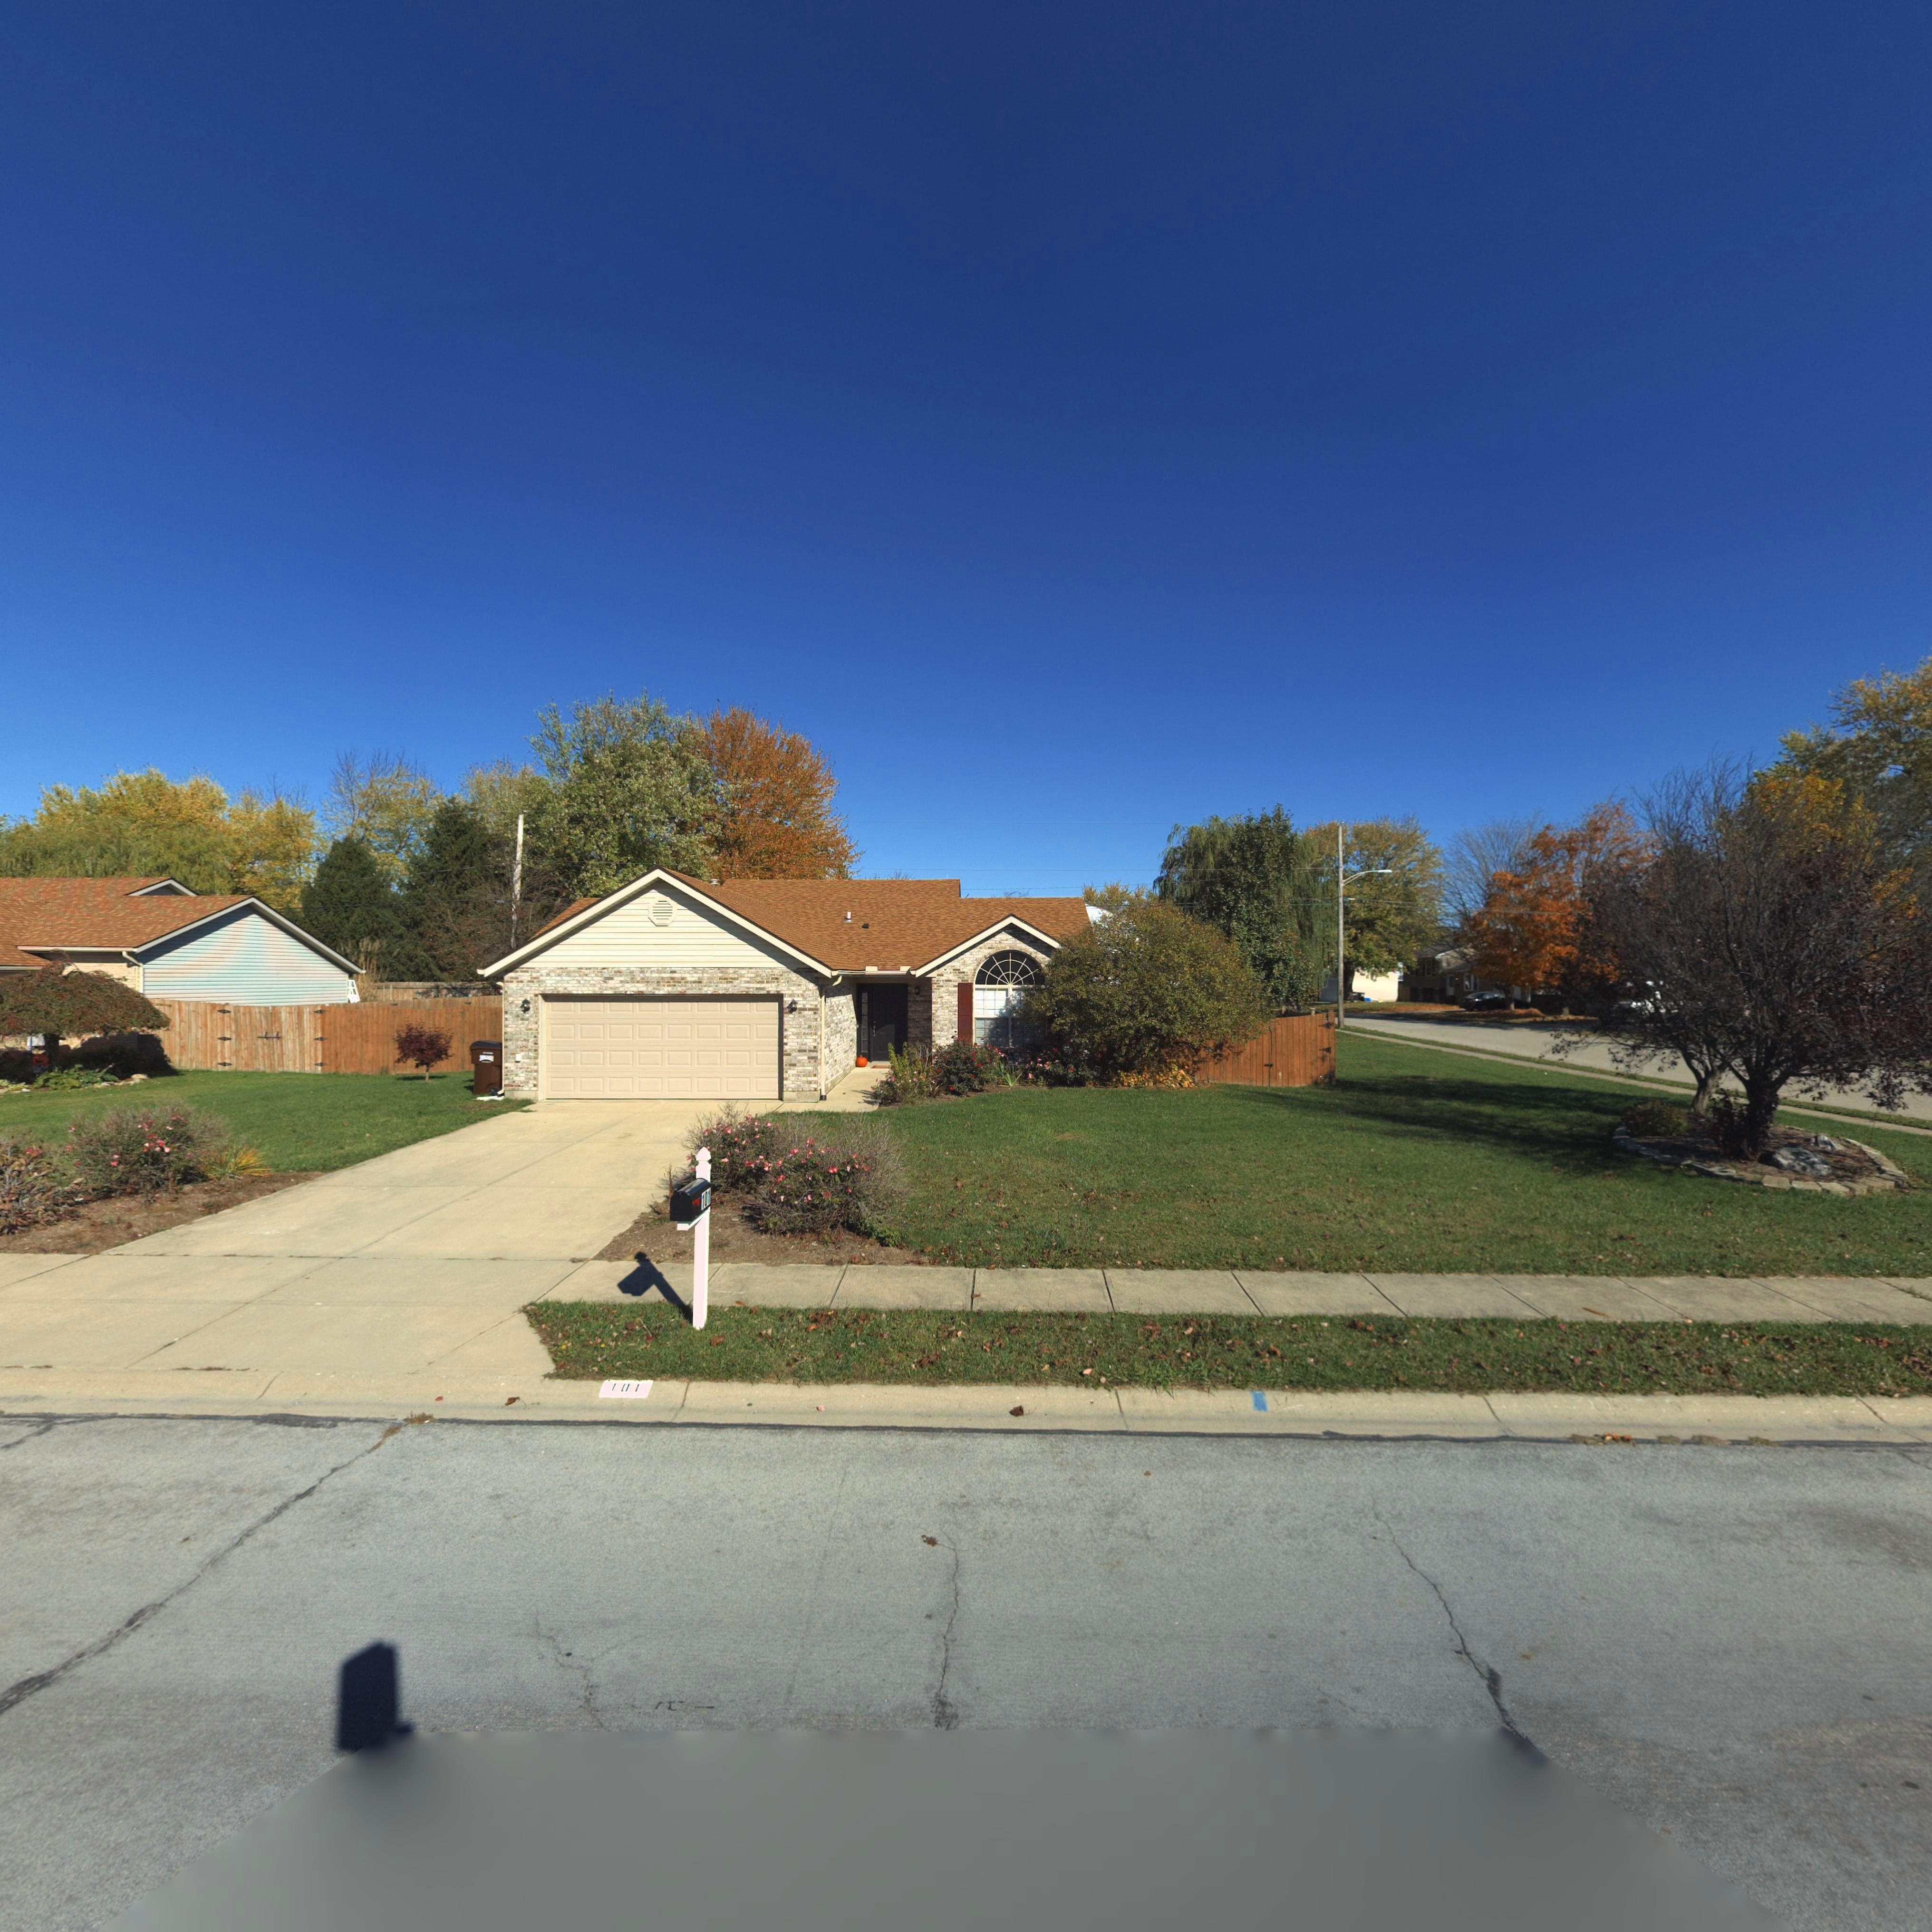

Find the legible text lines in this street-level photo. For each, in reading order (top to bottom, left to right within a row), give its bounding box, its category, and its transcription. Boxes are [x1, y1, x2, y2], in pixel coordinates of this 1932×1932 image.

[702, 1188, 710, 1211] StreetNumber: 101
[609, 1382, 641, 1393] StreetNumber: 101